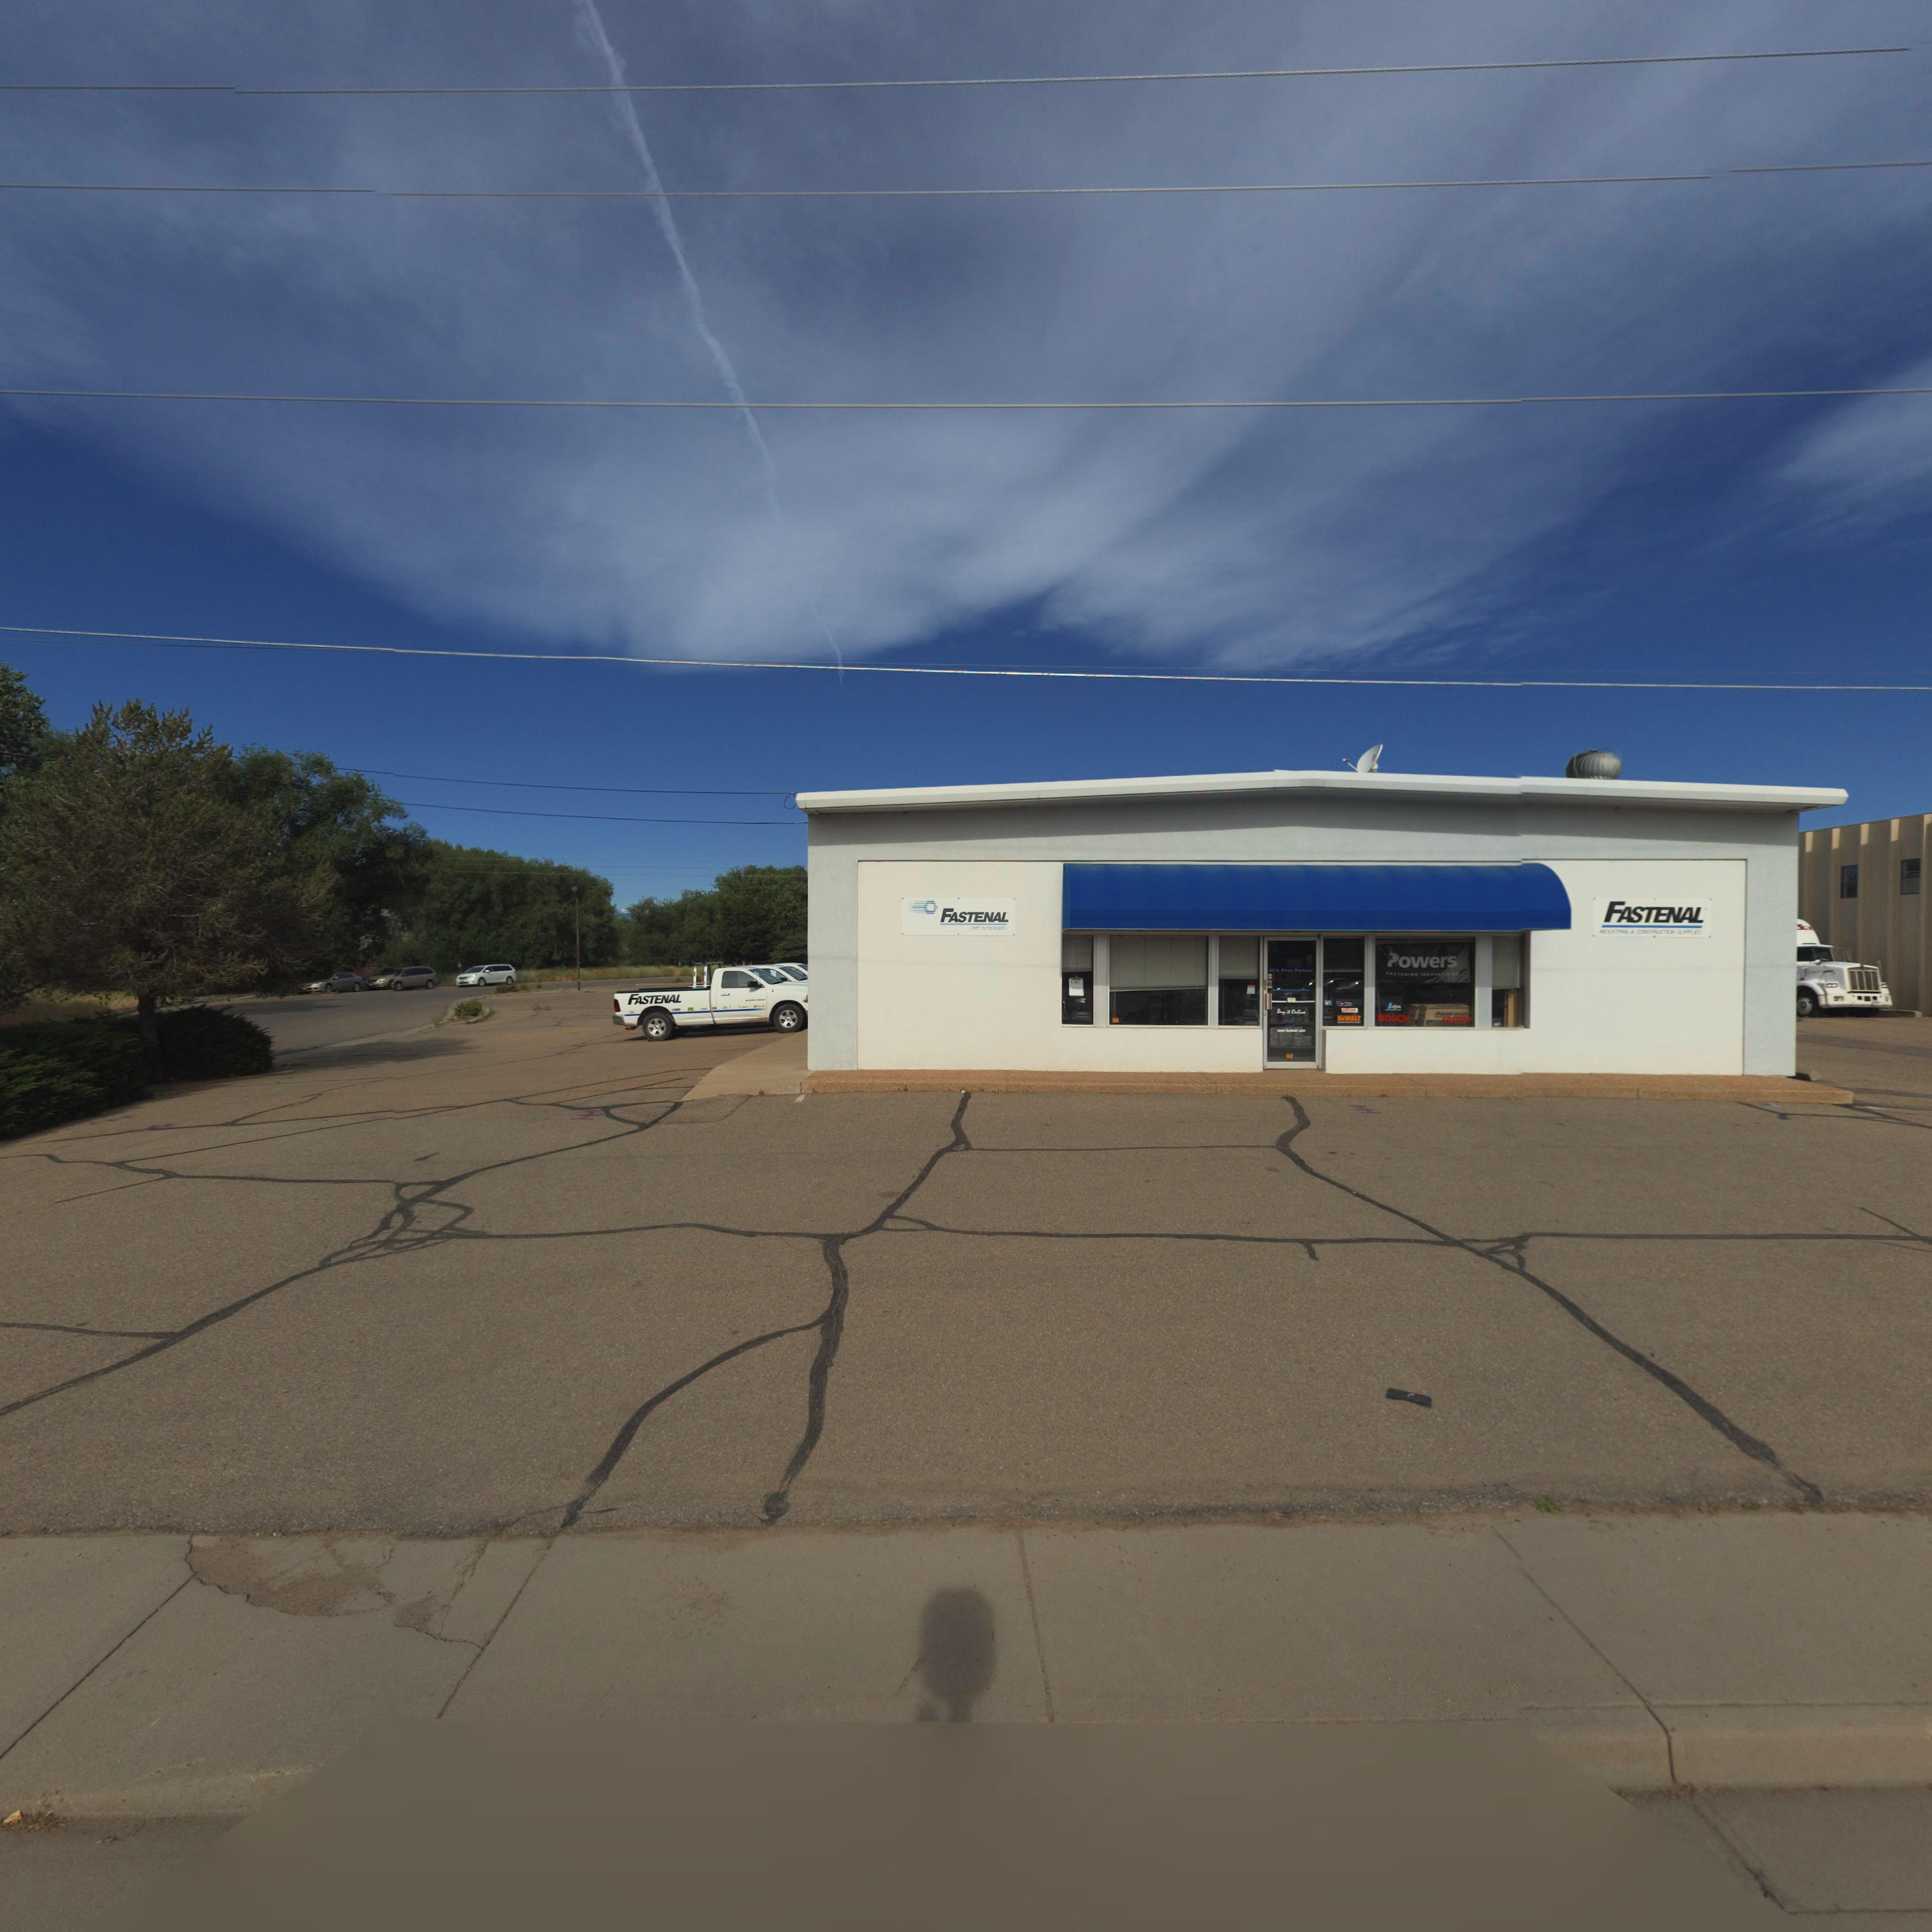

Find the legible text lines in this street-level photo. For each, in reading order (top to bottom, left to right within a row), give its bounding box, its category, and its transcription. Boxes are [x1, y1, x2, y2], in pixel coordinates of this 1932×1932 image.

[939, 908, 1009, 922] BusinessName: FASTENAL
[1603, 900, 1704, 923] BusinessName: FASTENAL